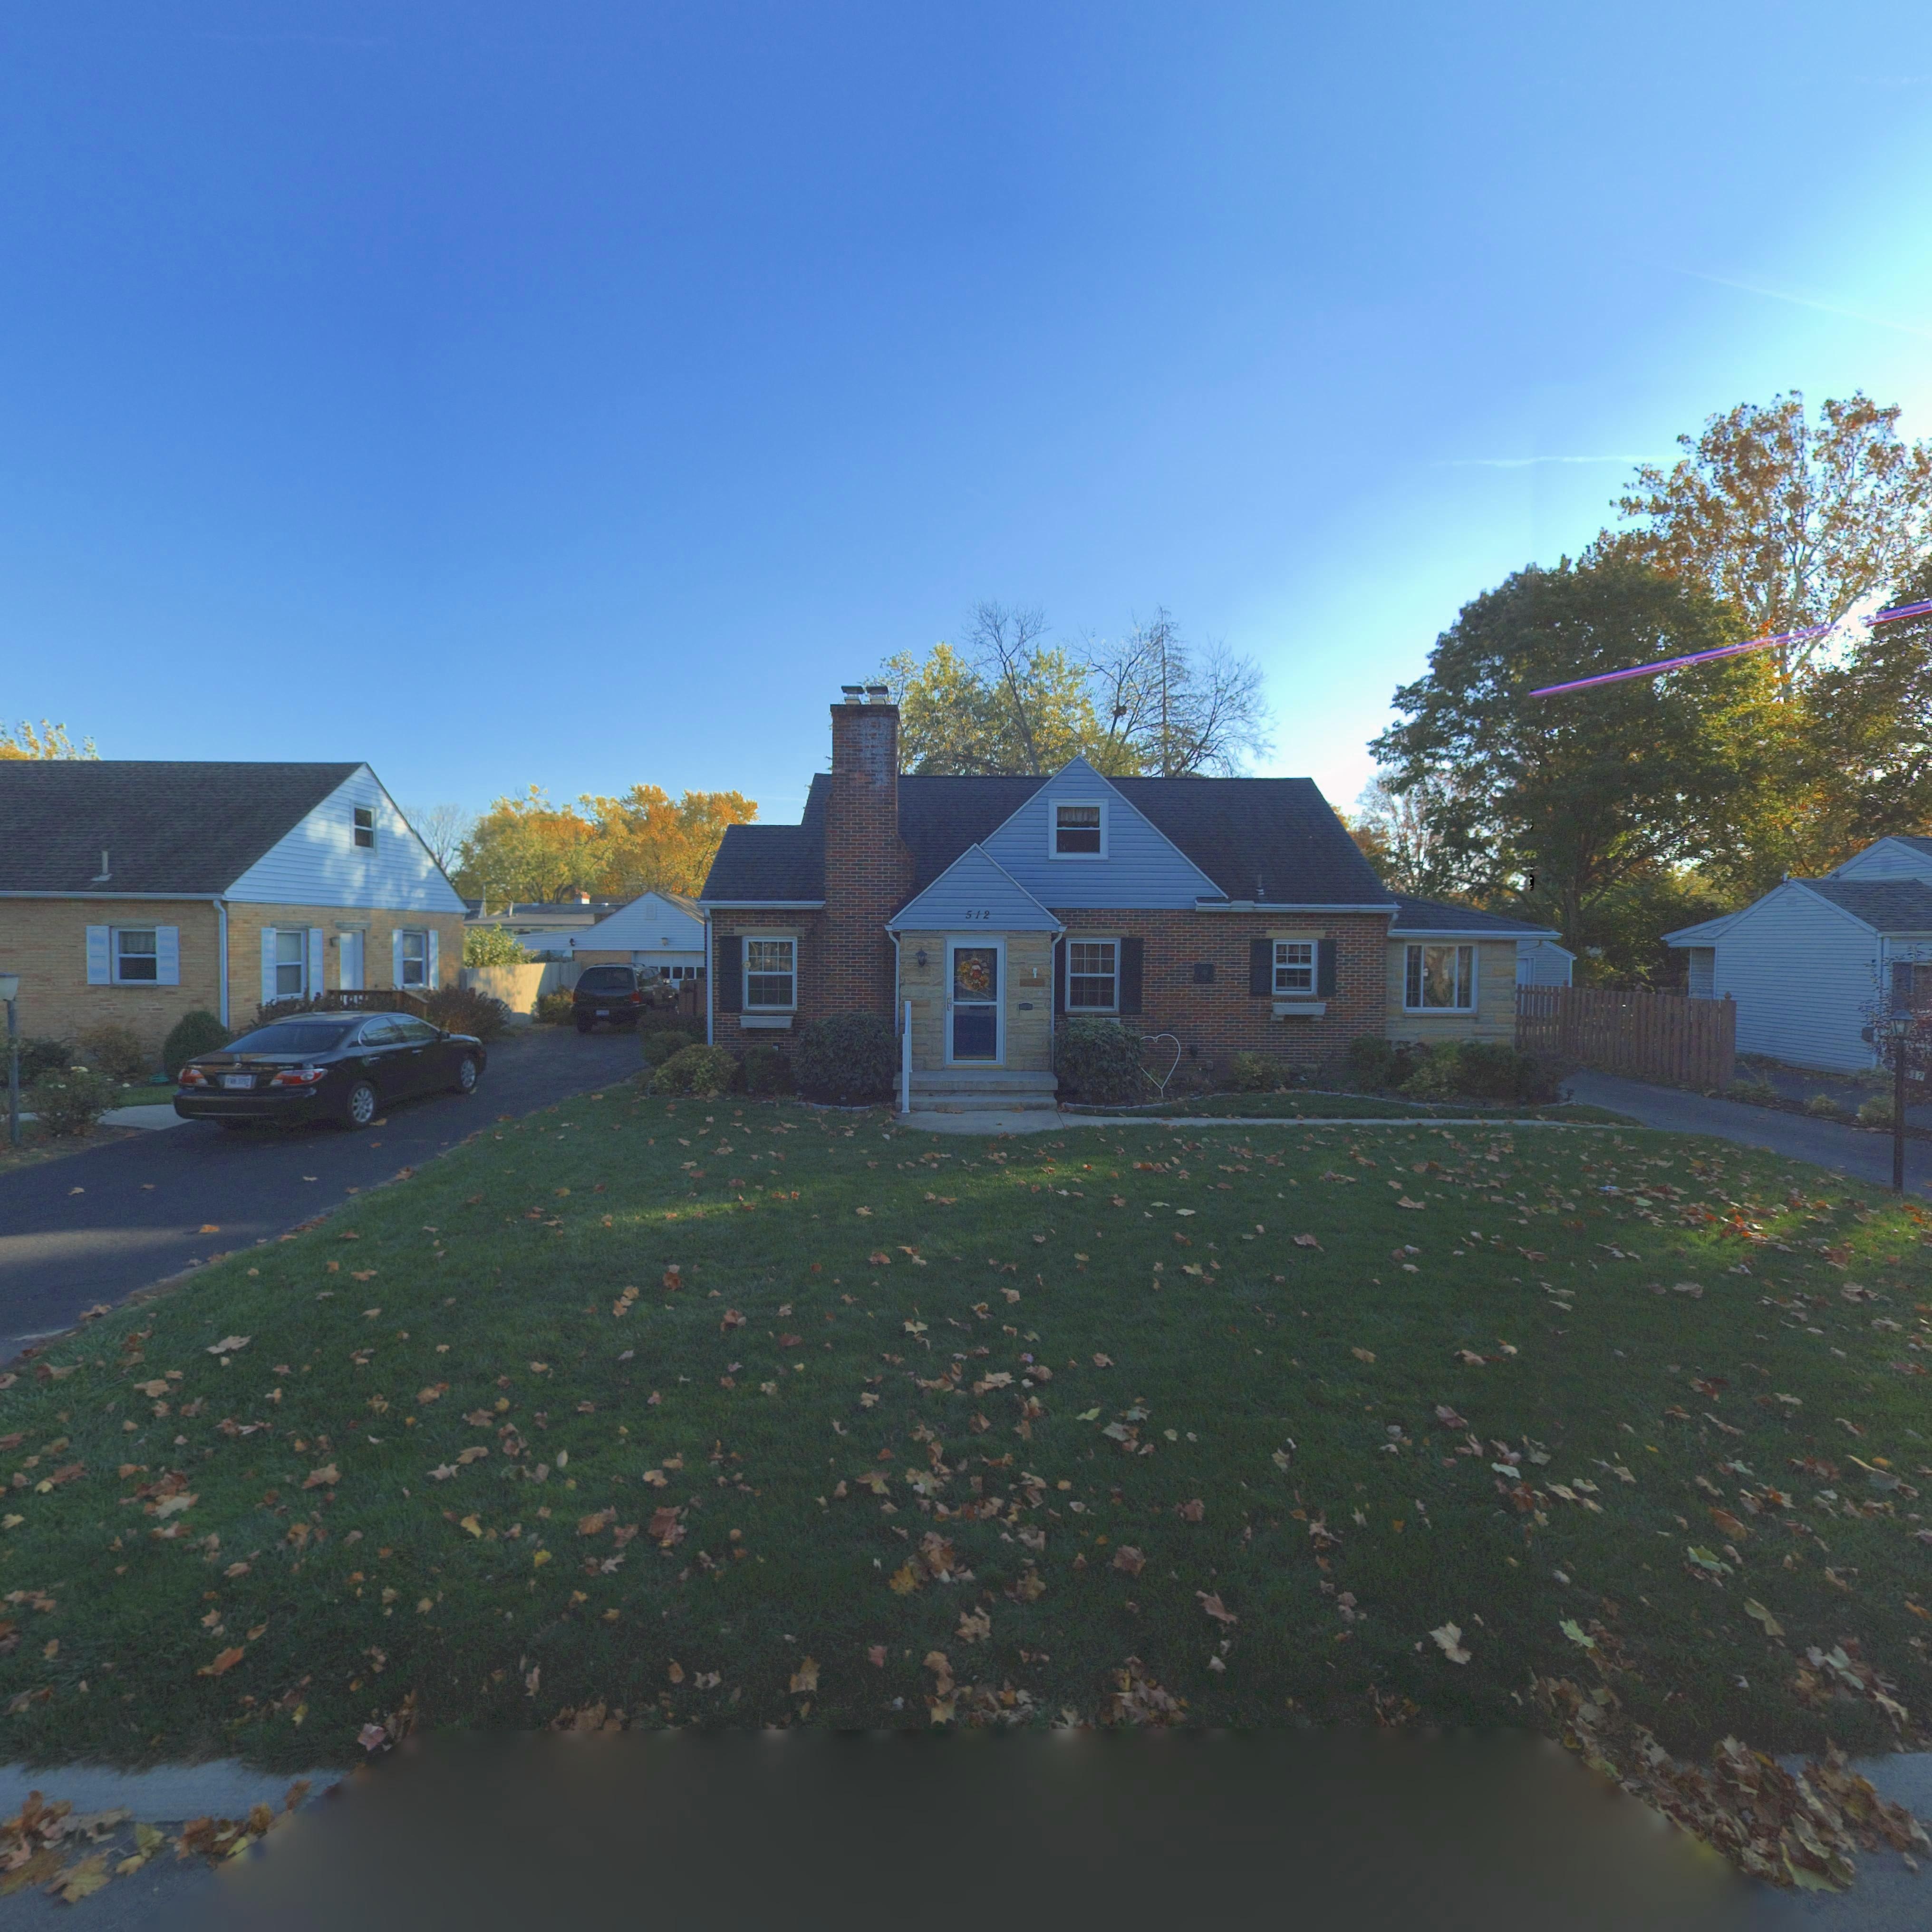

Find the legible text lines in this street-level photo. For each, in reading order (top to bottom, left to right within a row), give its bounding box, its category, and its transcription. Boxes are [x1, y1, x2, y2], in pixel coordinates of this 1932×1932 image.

[965, 909, 990, 920] StreetNumber: 512